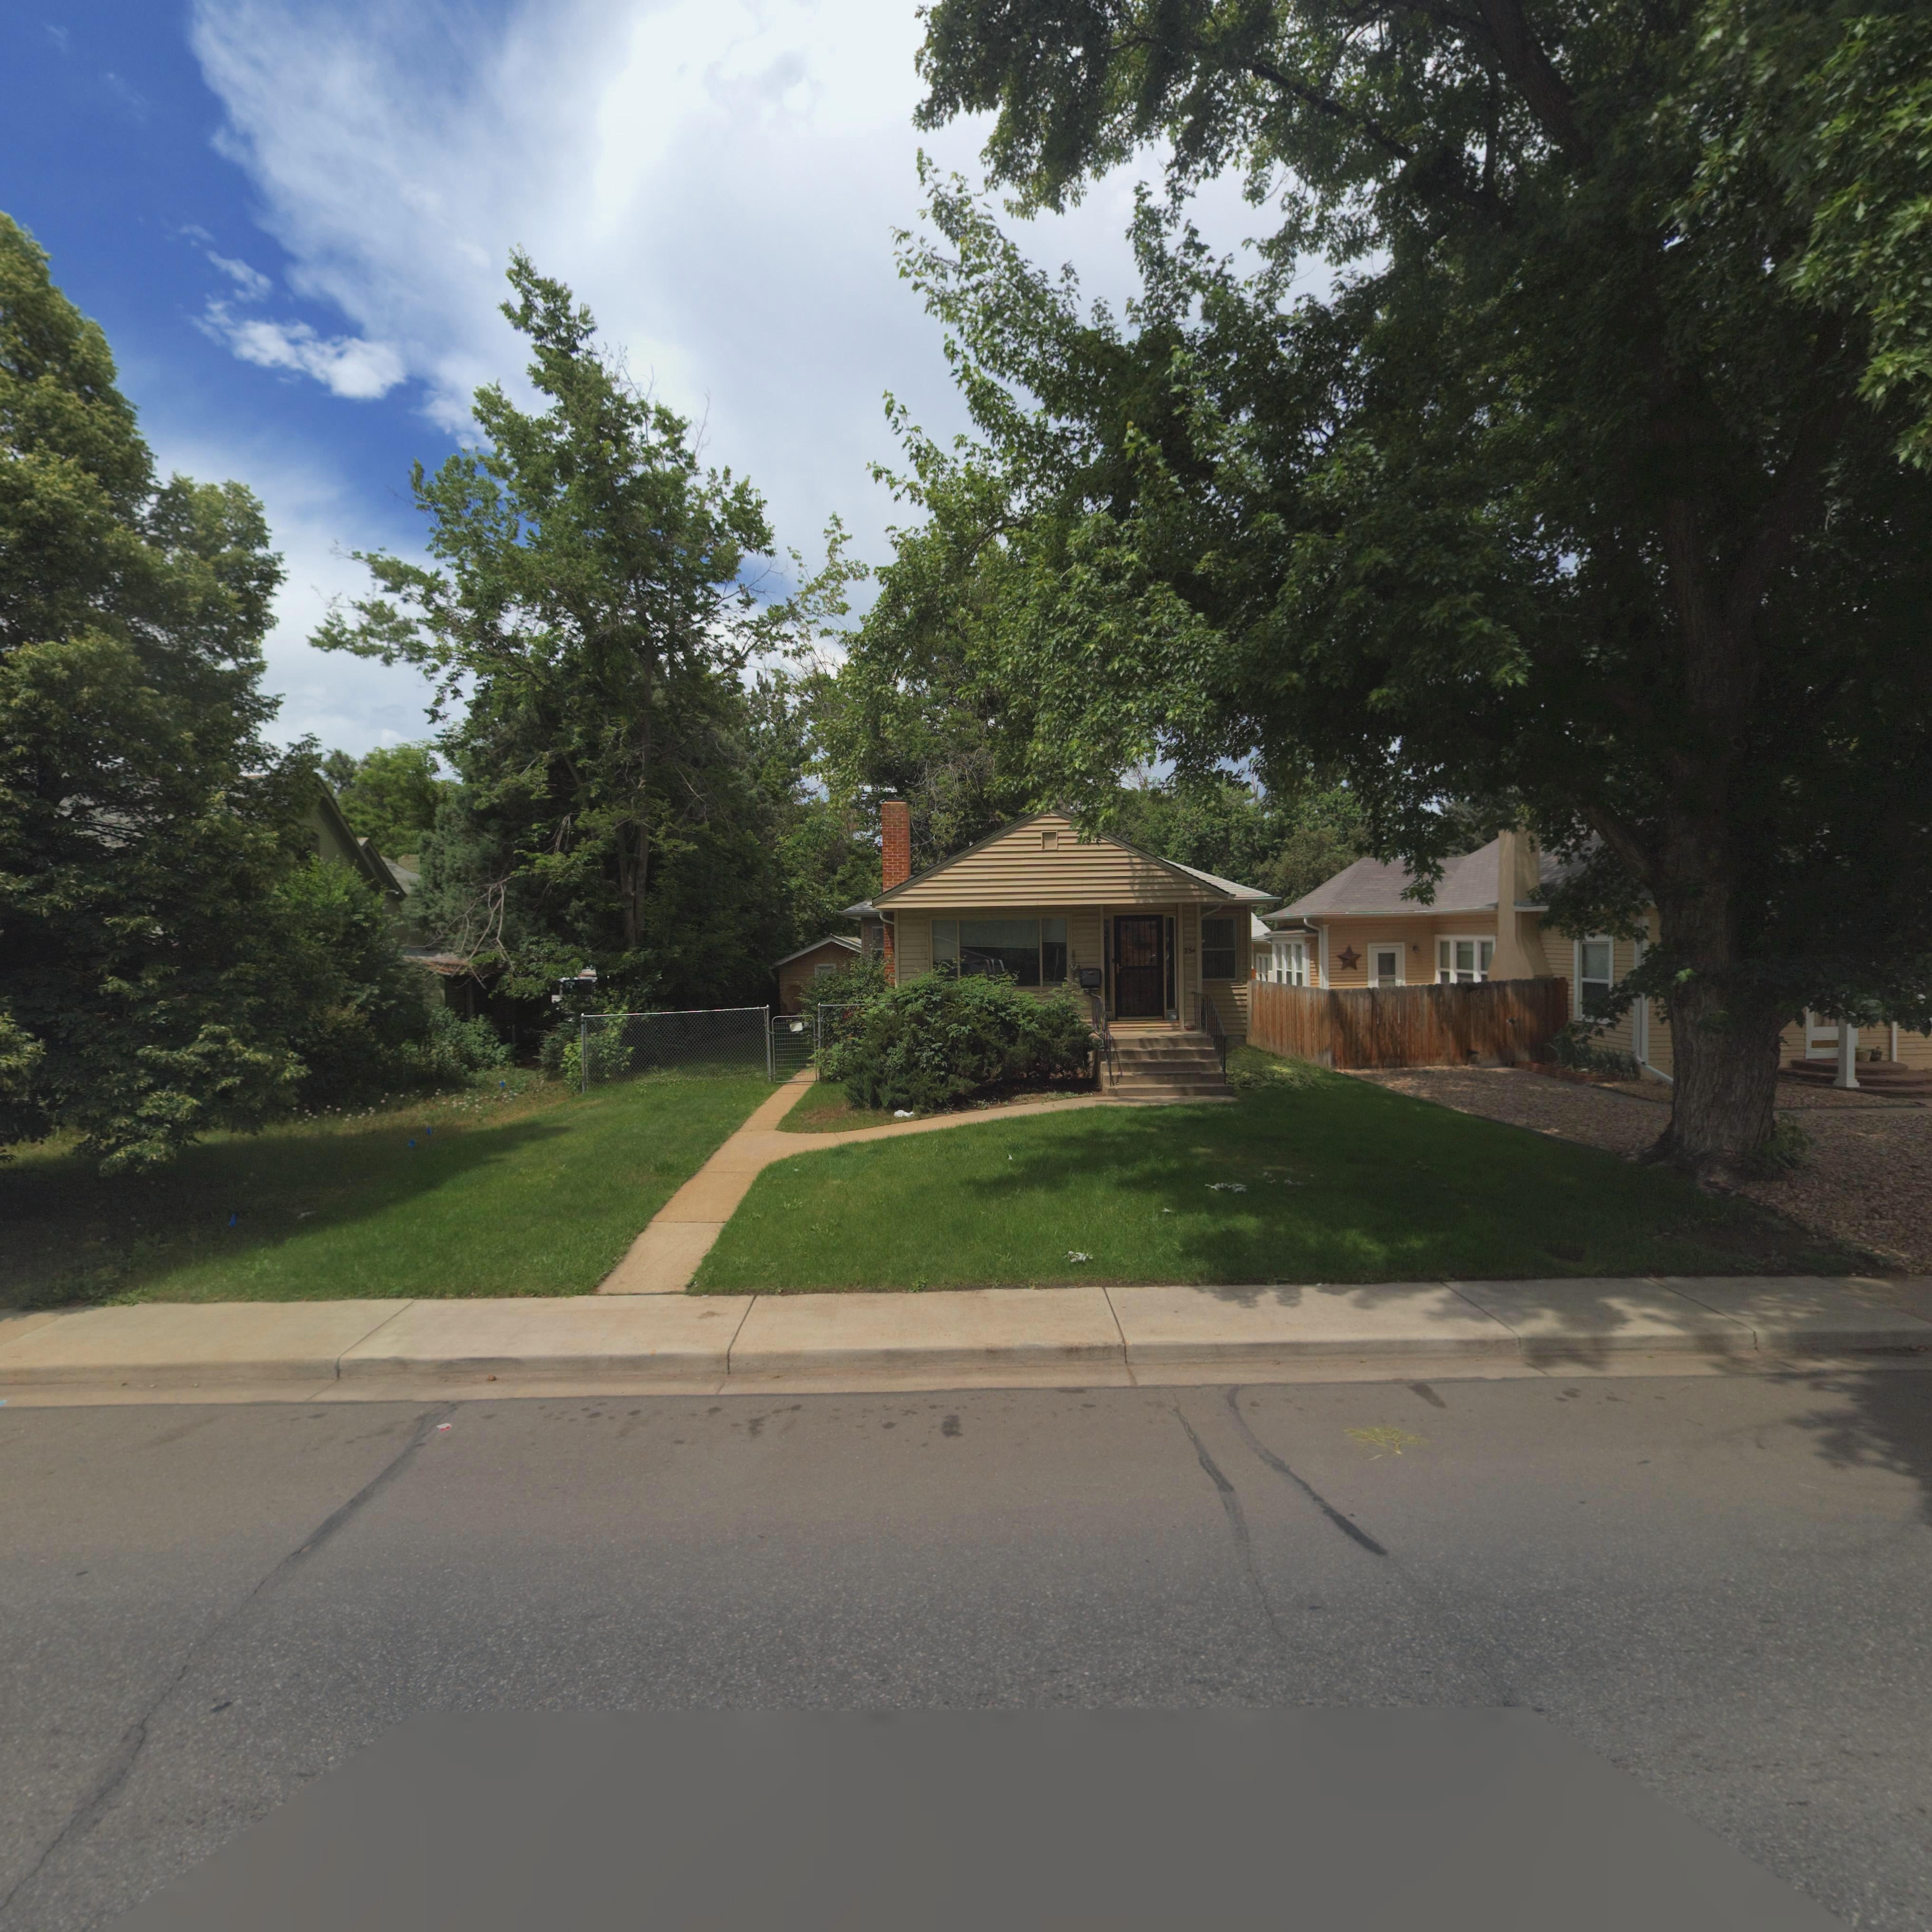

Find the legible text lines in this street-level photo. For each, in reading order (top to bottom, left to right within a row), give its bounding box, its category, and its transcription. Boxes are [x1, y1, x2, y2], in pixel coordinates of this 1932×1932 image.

[1183, 947, 1196, 954] StreetNumber: 354